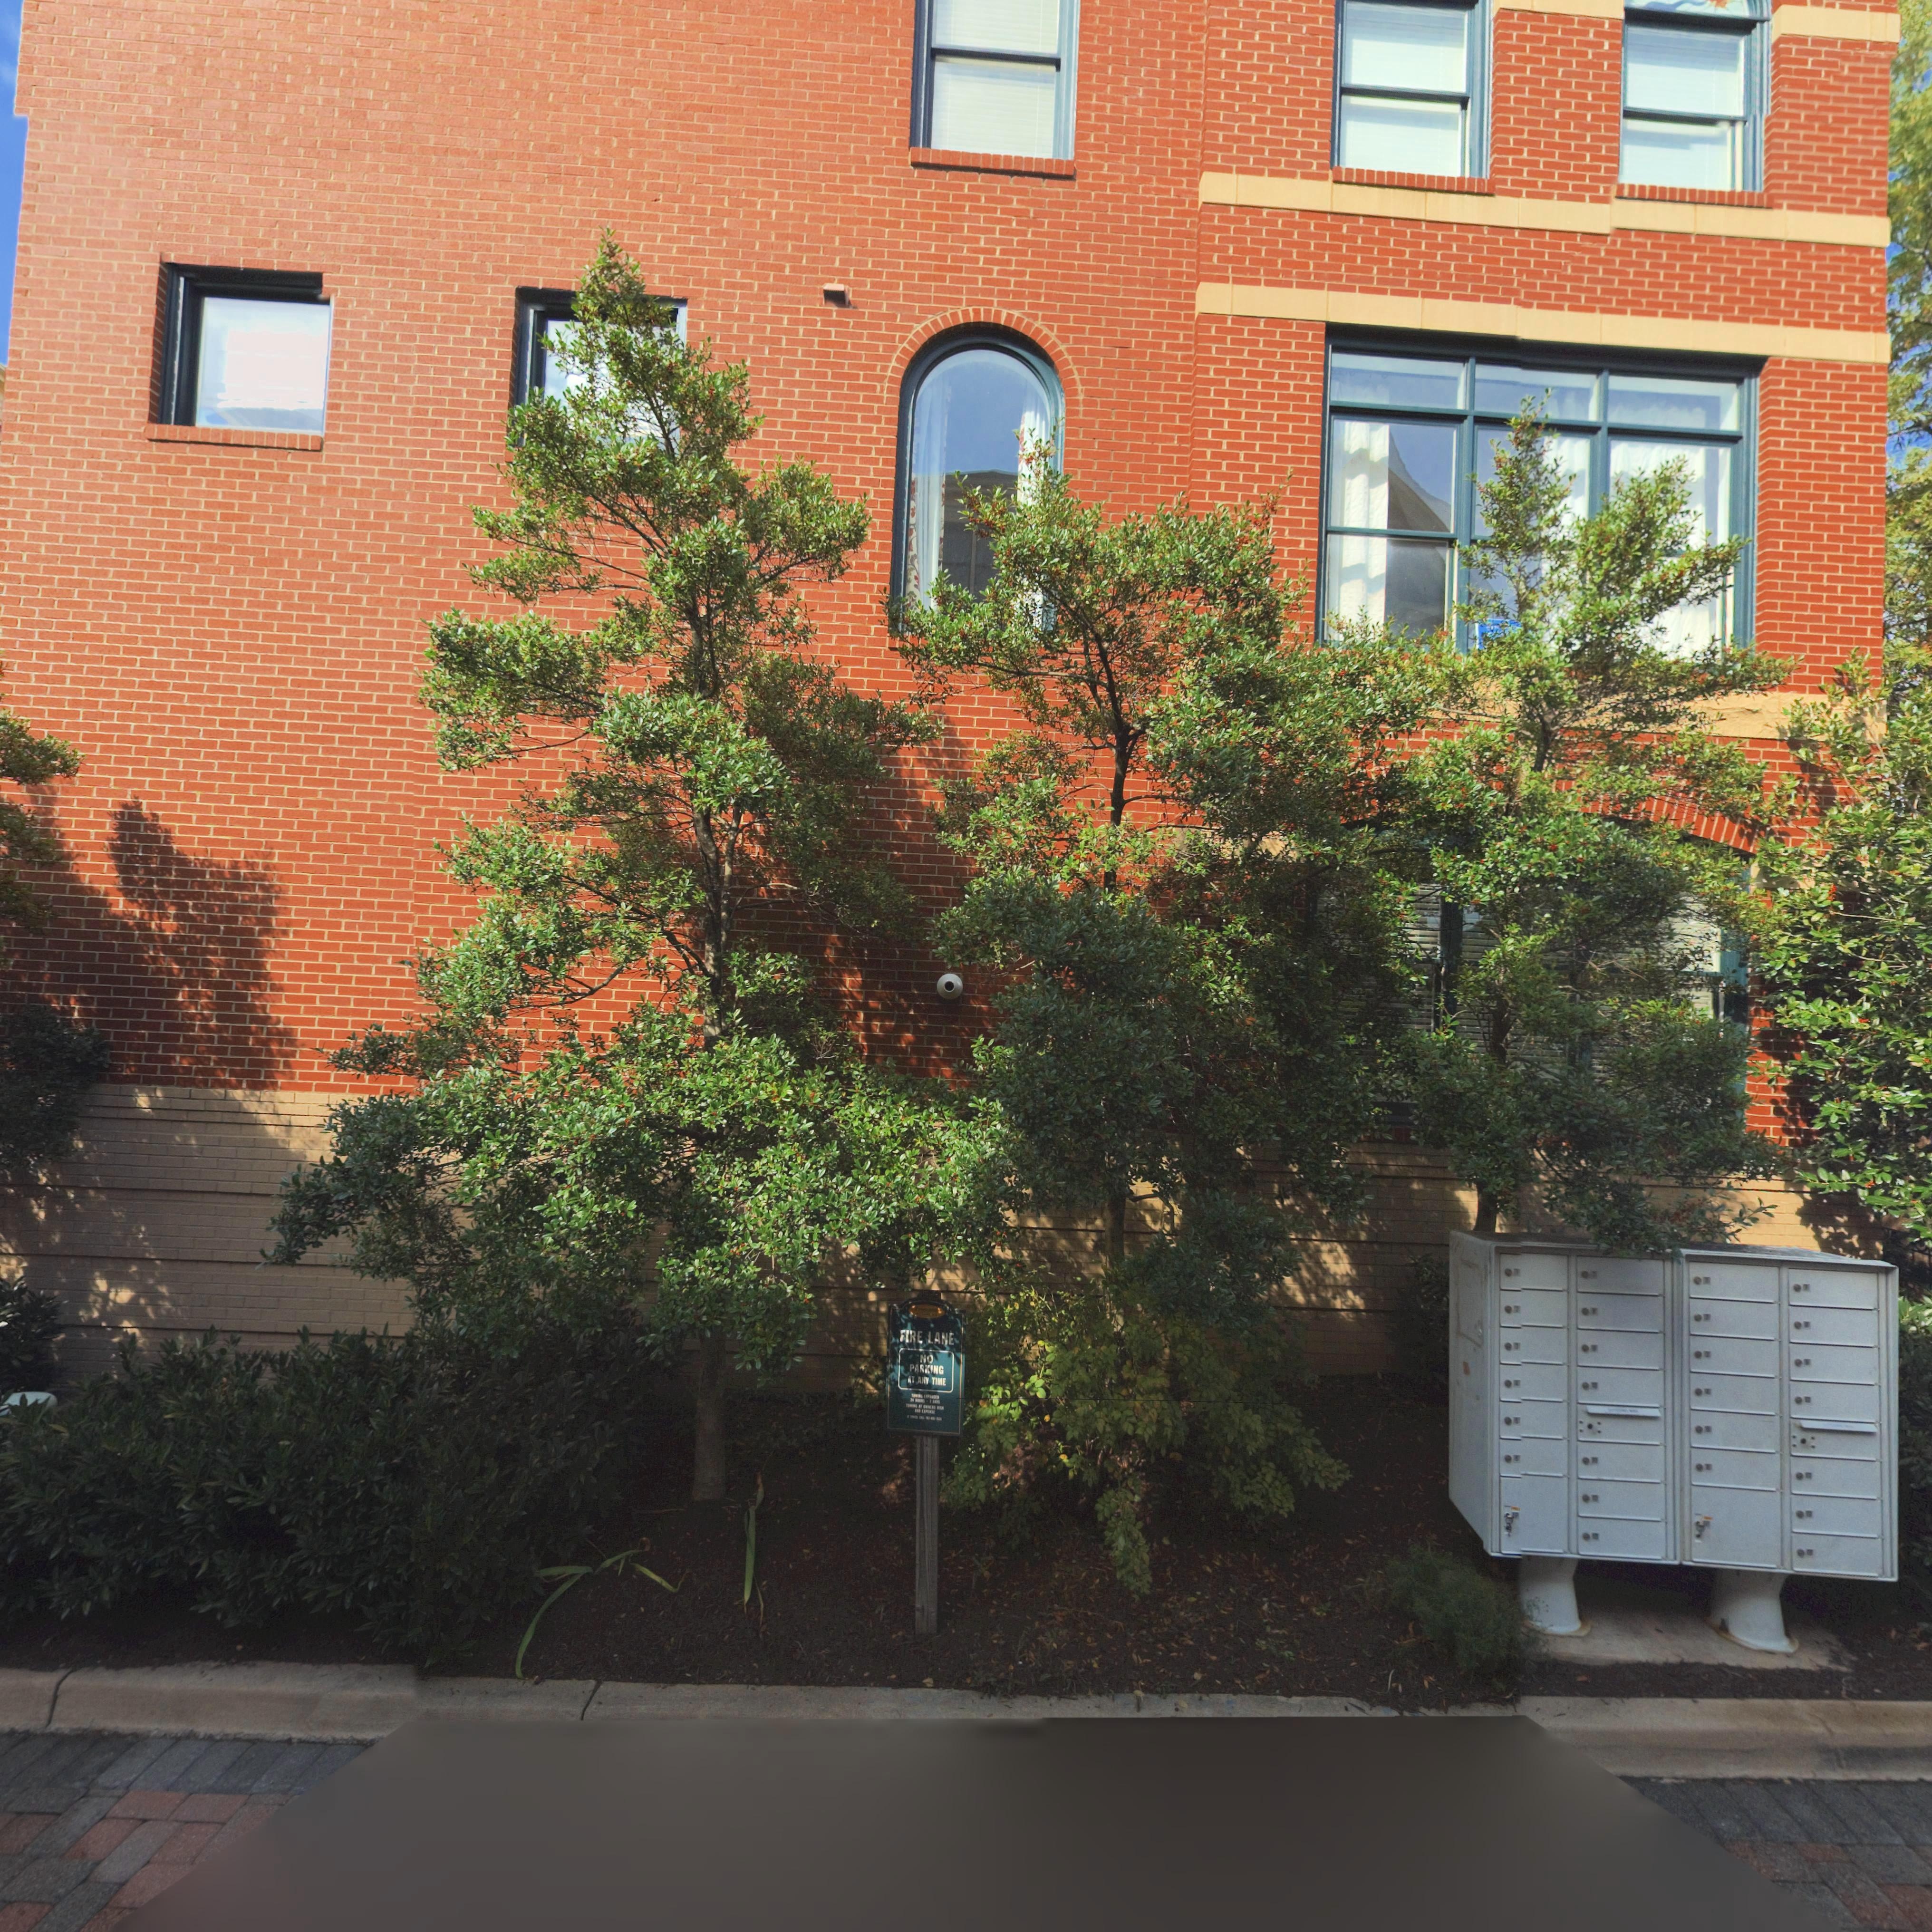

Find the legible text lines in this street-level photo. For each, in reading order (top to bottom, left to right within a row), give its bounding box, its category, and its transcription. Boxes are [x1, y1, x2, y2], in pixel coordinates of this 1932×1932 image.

[898, 1328, 956, 1347] None: FIRE LANE
[919, 1353, 935, 1364] None: NO
[909, 1362, 945, 1376] None: PARKING
[906, 1374, 947, 1388] None: *T ANY TIME